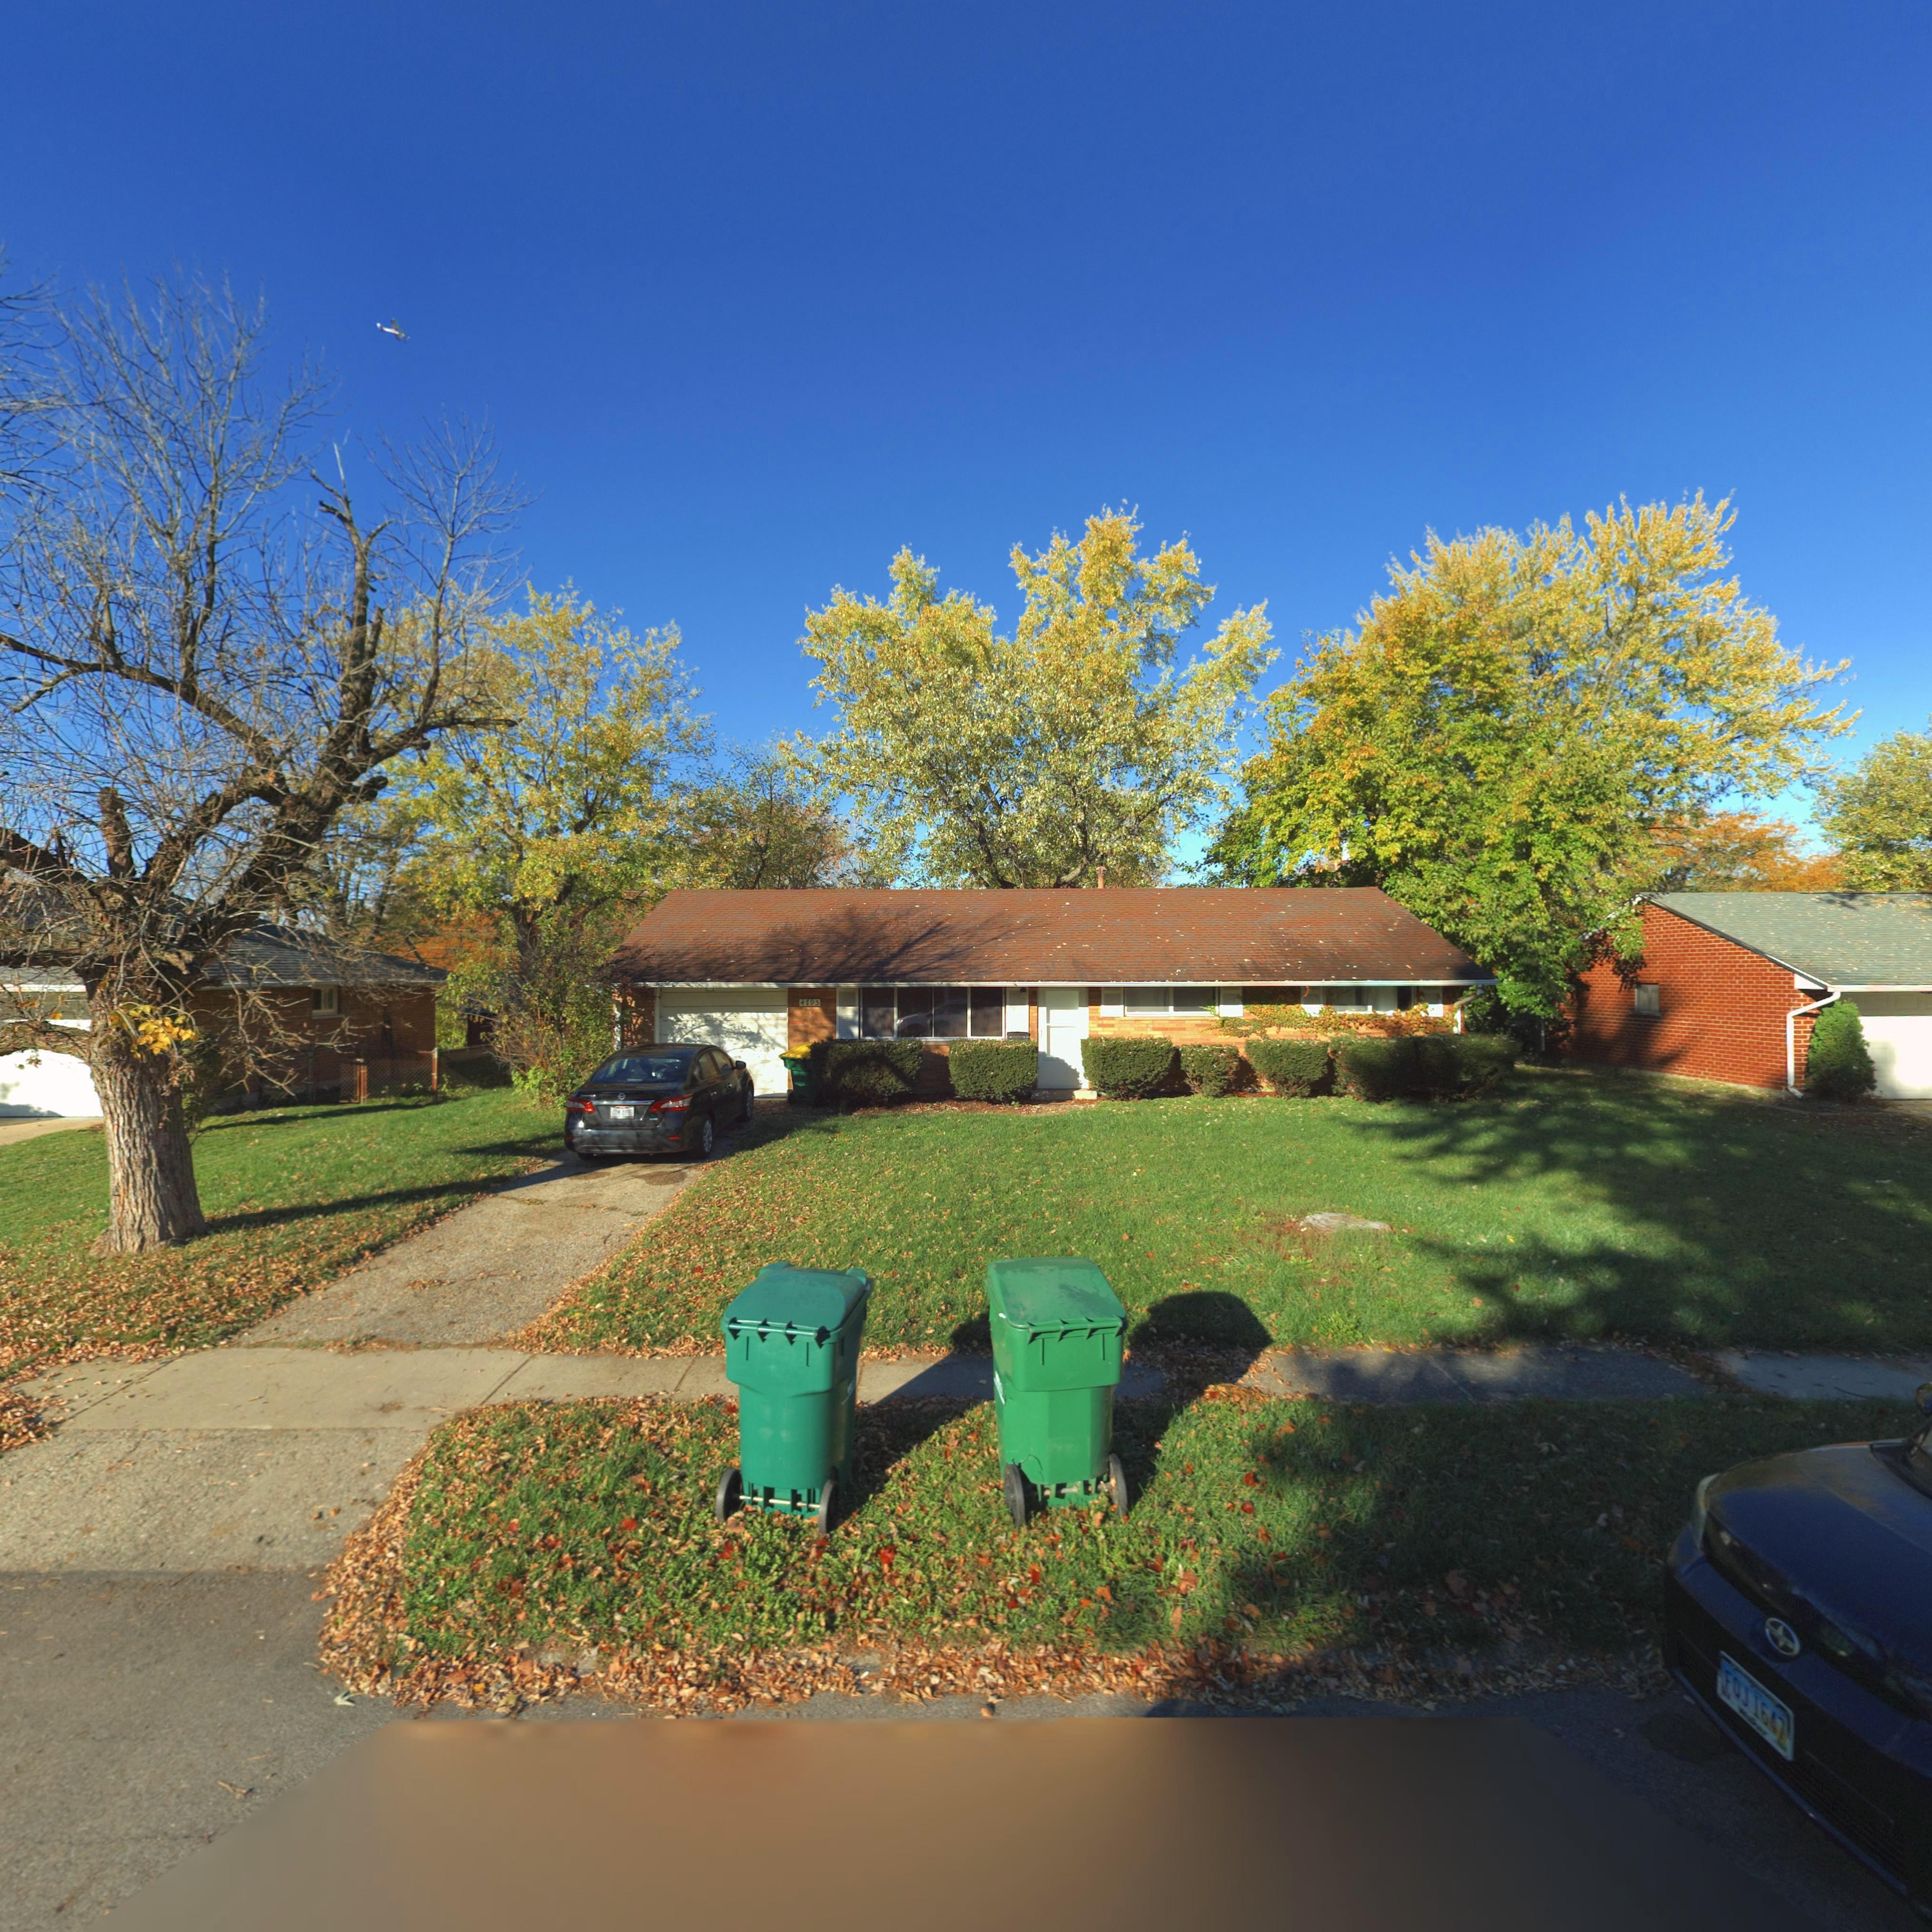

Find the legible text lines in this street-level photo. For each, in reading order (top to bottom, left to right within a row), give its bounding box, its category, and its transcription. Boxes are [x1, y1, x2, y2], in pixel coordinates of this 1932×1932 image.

[800, 999, 819, 1006] StreetNumber: 4195